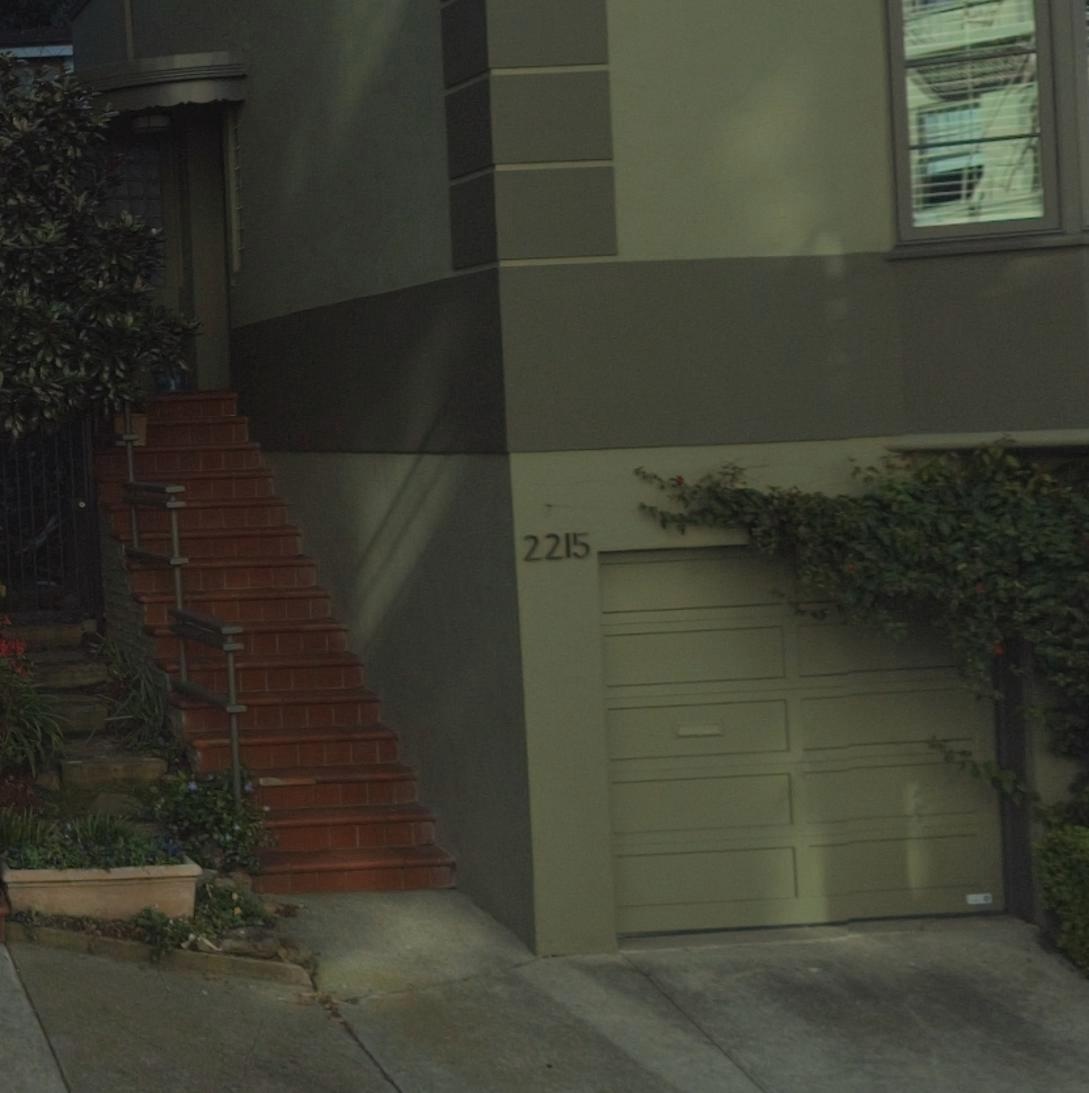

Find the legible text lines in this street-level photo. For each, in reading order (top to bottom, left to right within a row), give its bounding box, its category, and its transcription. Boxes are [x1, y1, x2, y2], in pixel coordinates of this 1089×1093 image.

[521, 530, 592, 564] StreetNumber: 2215